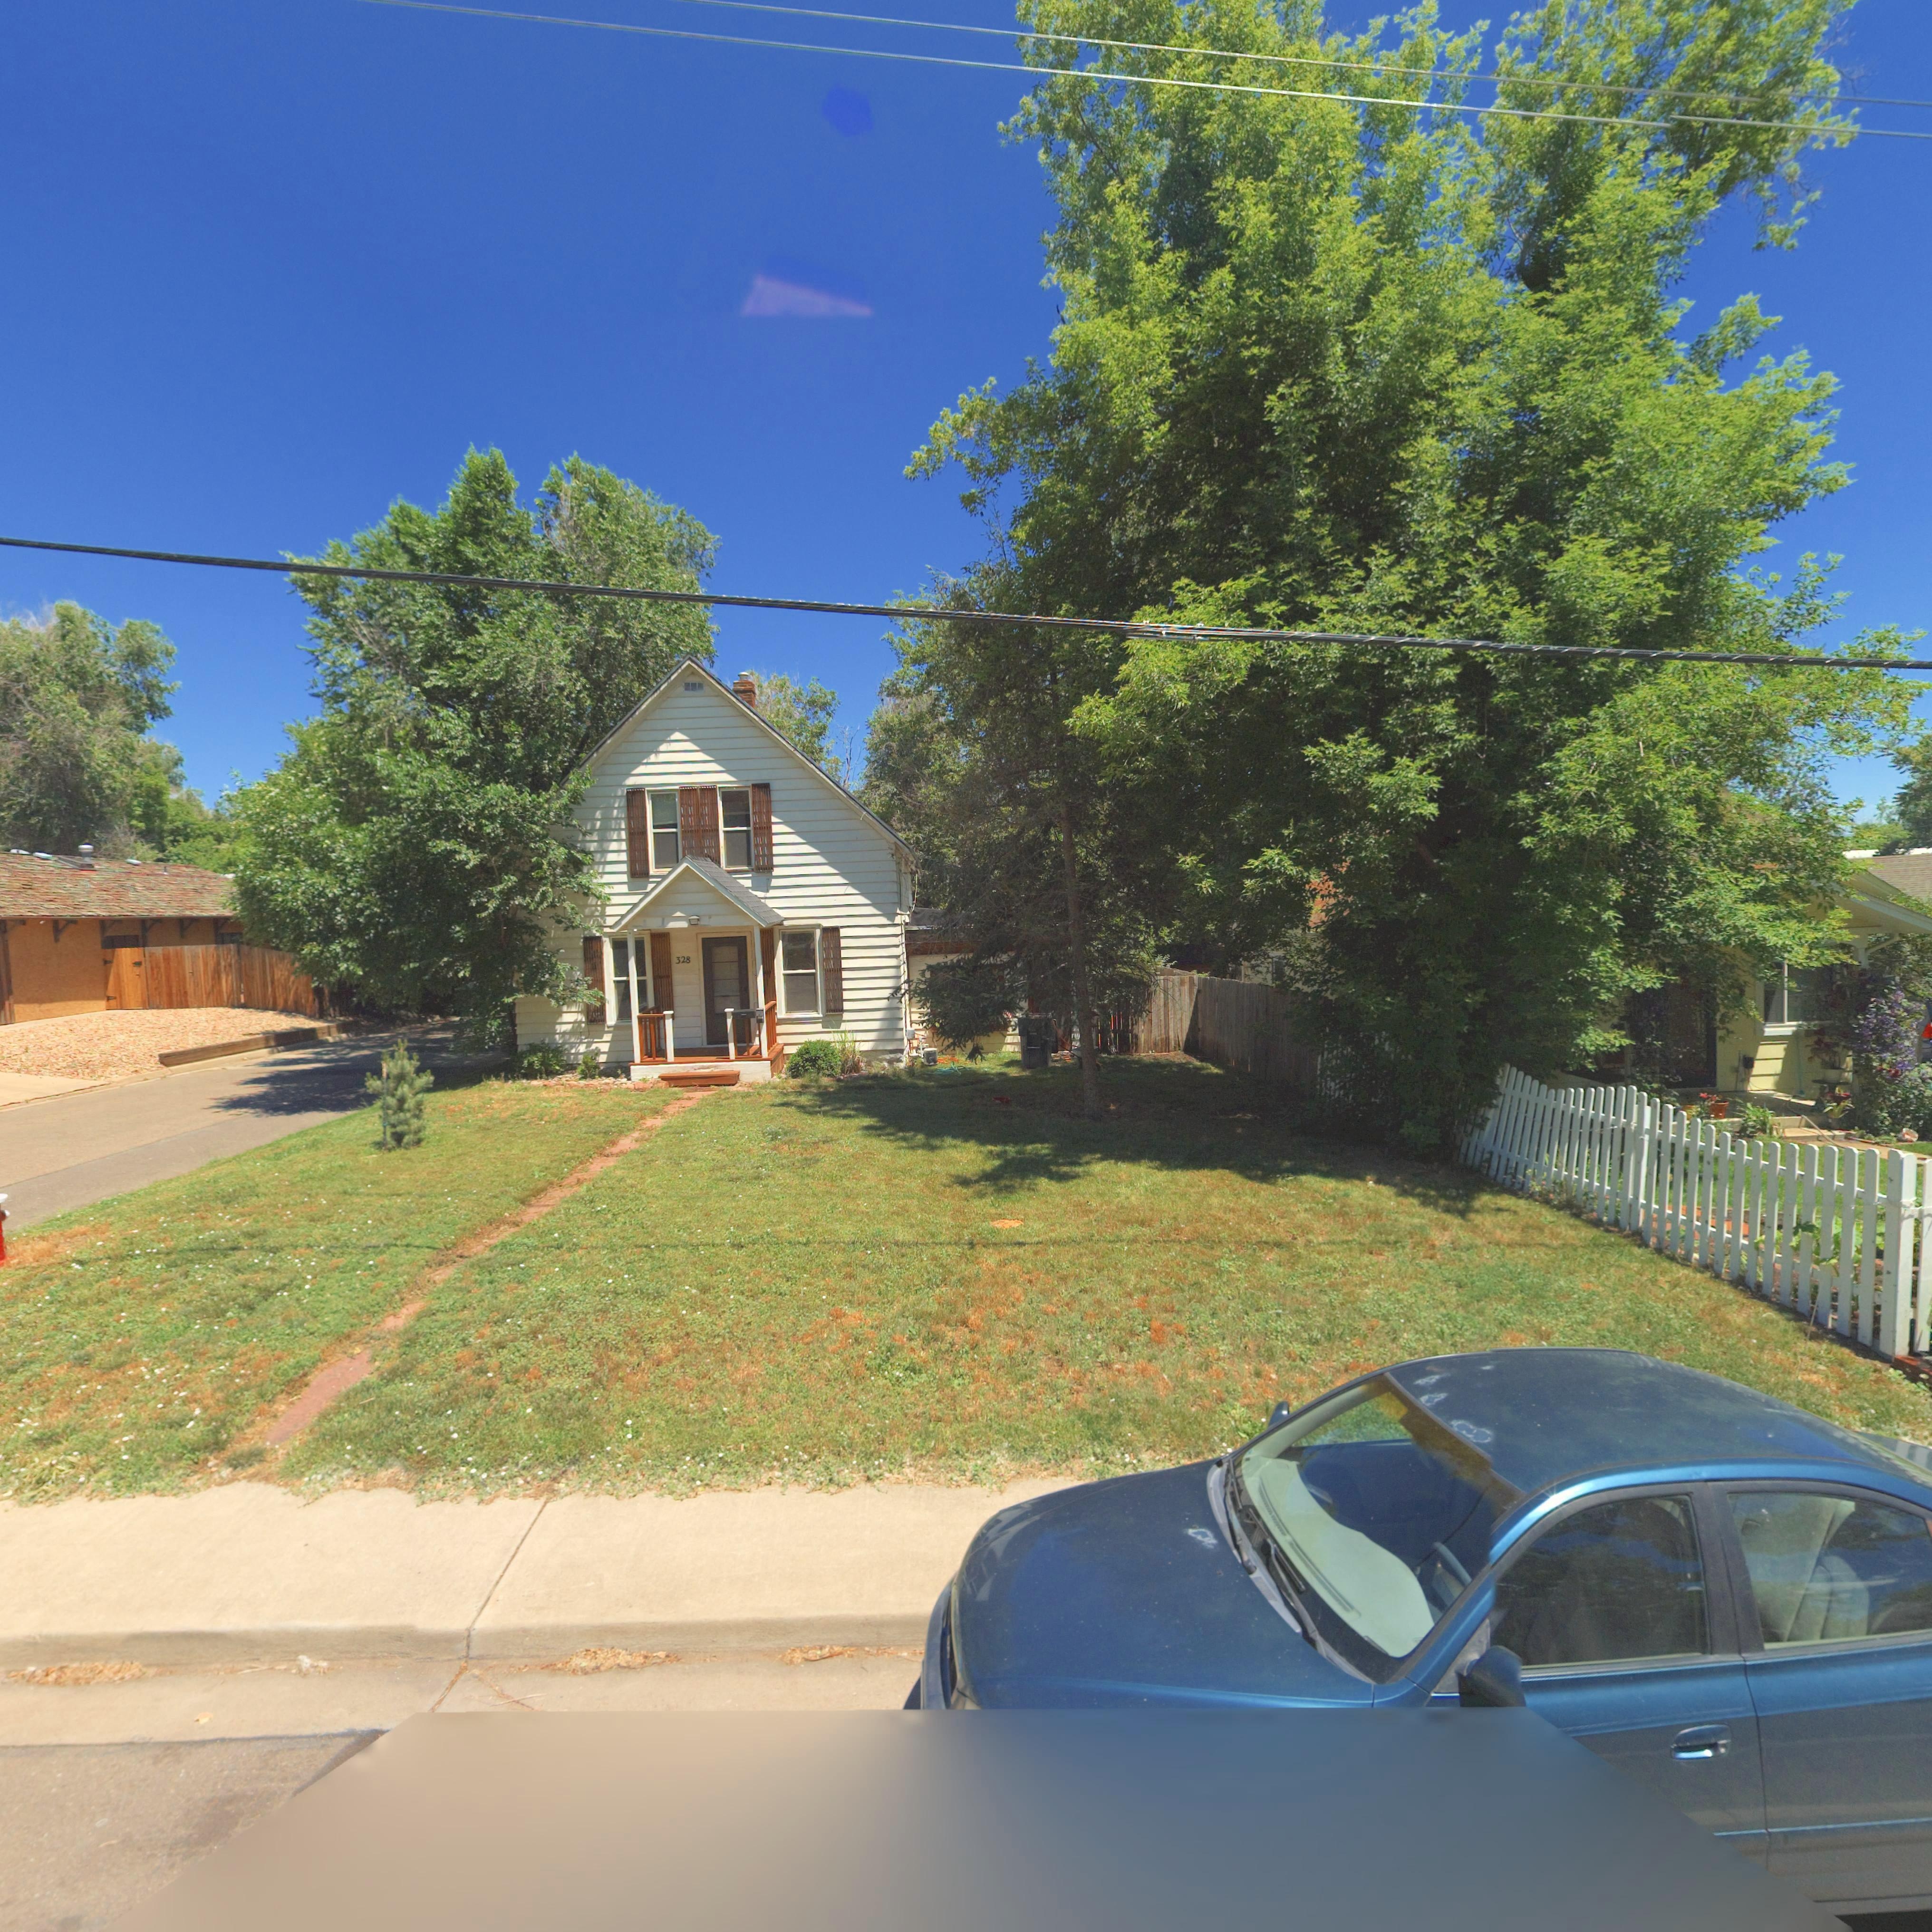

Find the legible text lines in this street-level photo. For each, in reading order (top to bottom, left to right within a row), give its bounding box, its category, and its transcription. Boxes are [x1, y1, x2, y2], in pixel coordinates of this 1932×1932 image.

[675, 956, 691, 964] StreetNumber: 328